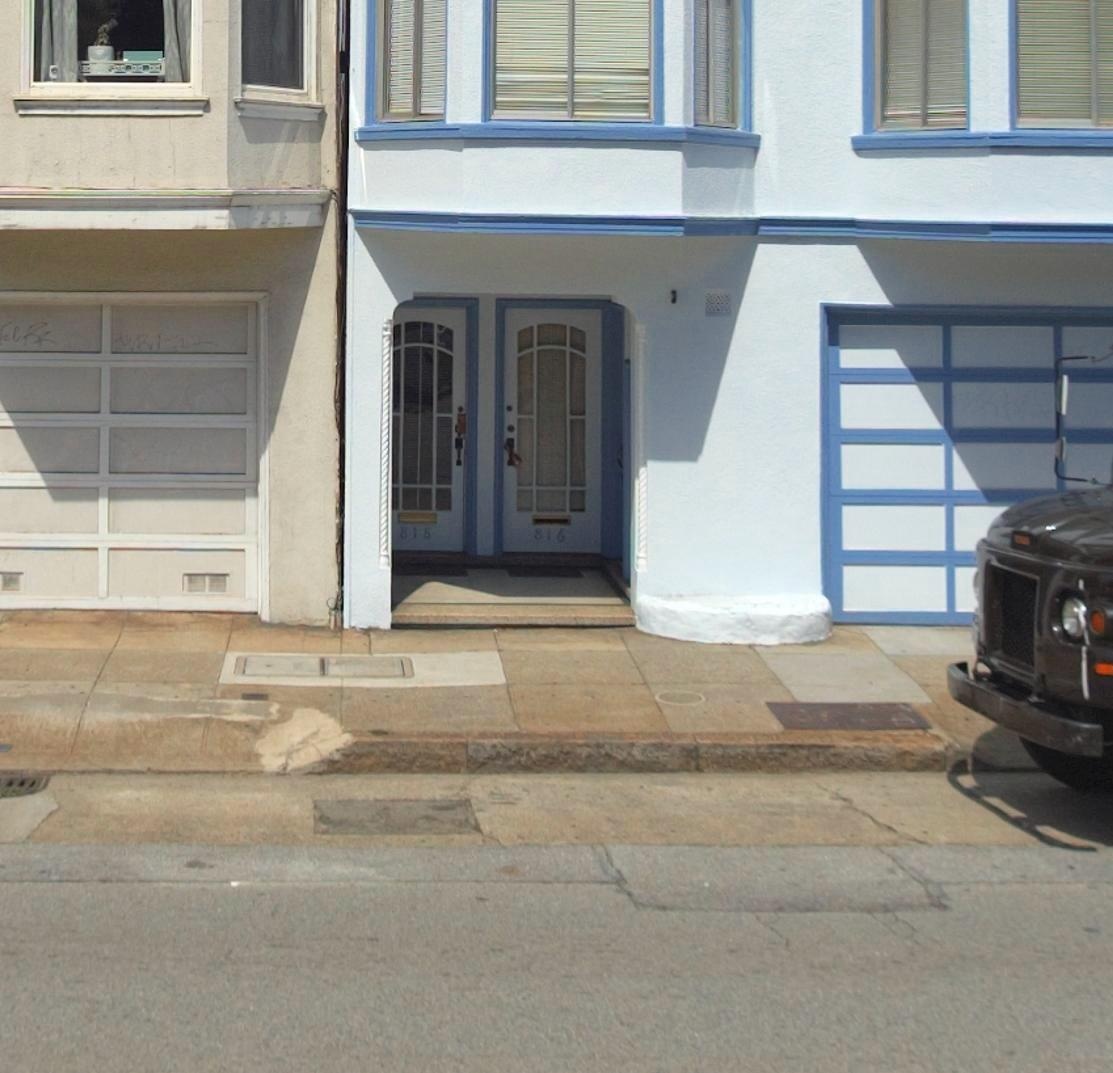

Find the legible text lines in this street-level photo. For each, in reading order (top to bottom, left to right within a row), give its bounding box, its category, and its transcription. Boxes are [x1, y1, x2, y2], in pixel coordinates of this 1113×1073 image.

[399, 525, 432, 540] StreetNumber: 818
[533, 526, 567, 543] StreetNumber: 816